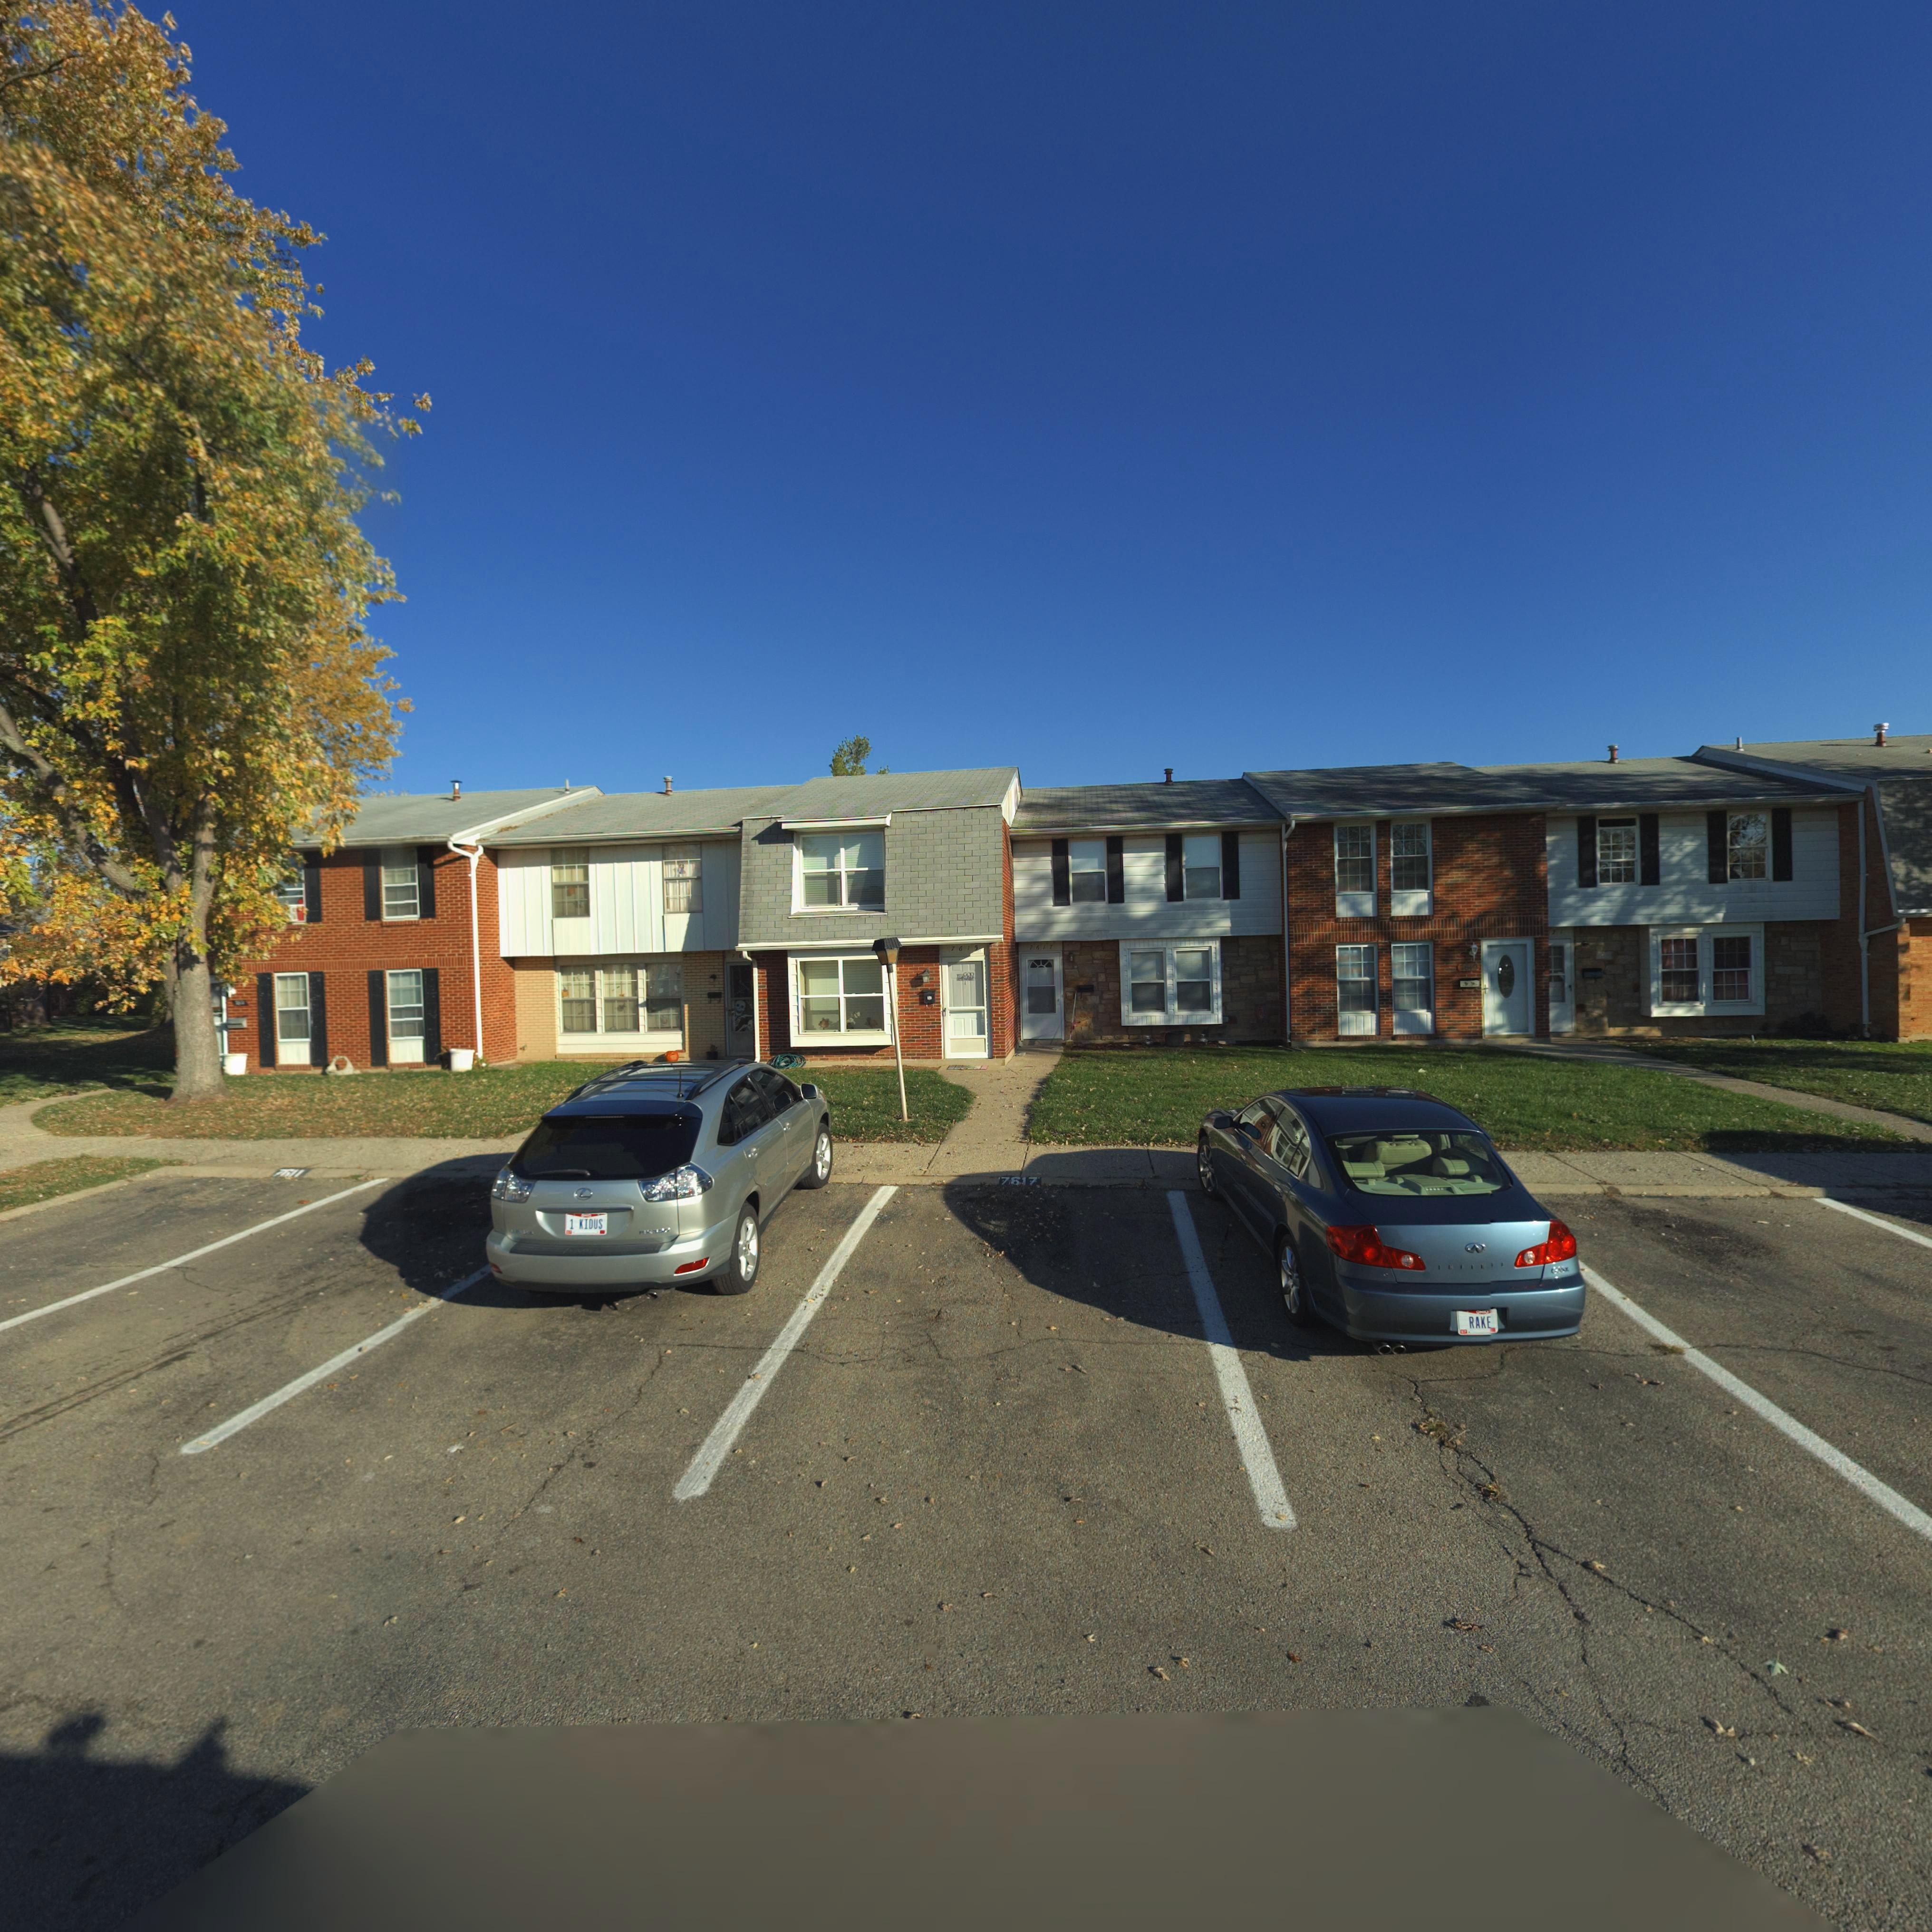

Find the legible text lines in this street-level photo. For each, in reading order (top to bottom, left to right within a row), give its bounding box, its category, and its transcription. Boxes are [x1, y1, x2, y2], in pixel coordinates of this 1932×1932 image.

[1551, 928, 1565, 936] StreetNumber: 21
[950, 945, 978, 952] StreetNumber: 7615
[1029, 944, 1053, 951] StreetNumber: 7617
[731, 953, 743, 958] StreetNumber: 76
[1459, 963, 1478, 971] StreetNumber: 7619
[270, 1168, 306, 1178] StreetNumber: 7611
[1001, 1176, 1038, 1186] StreetNumber: 7617